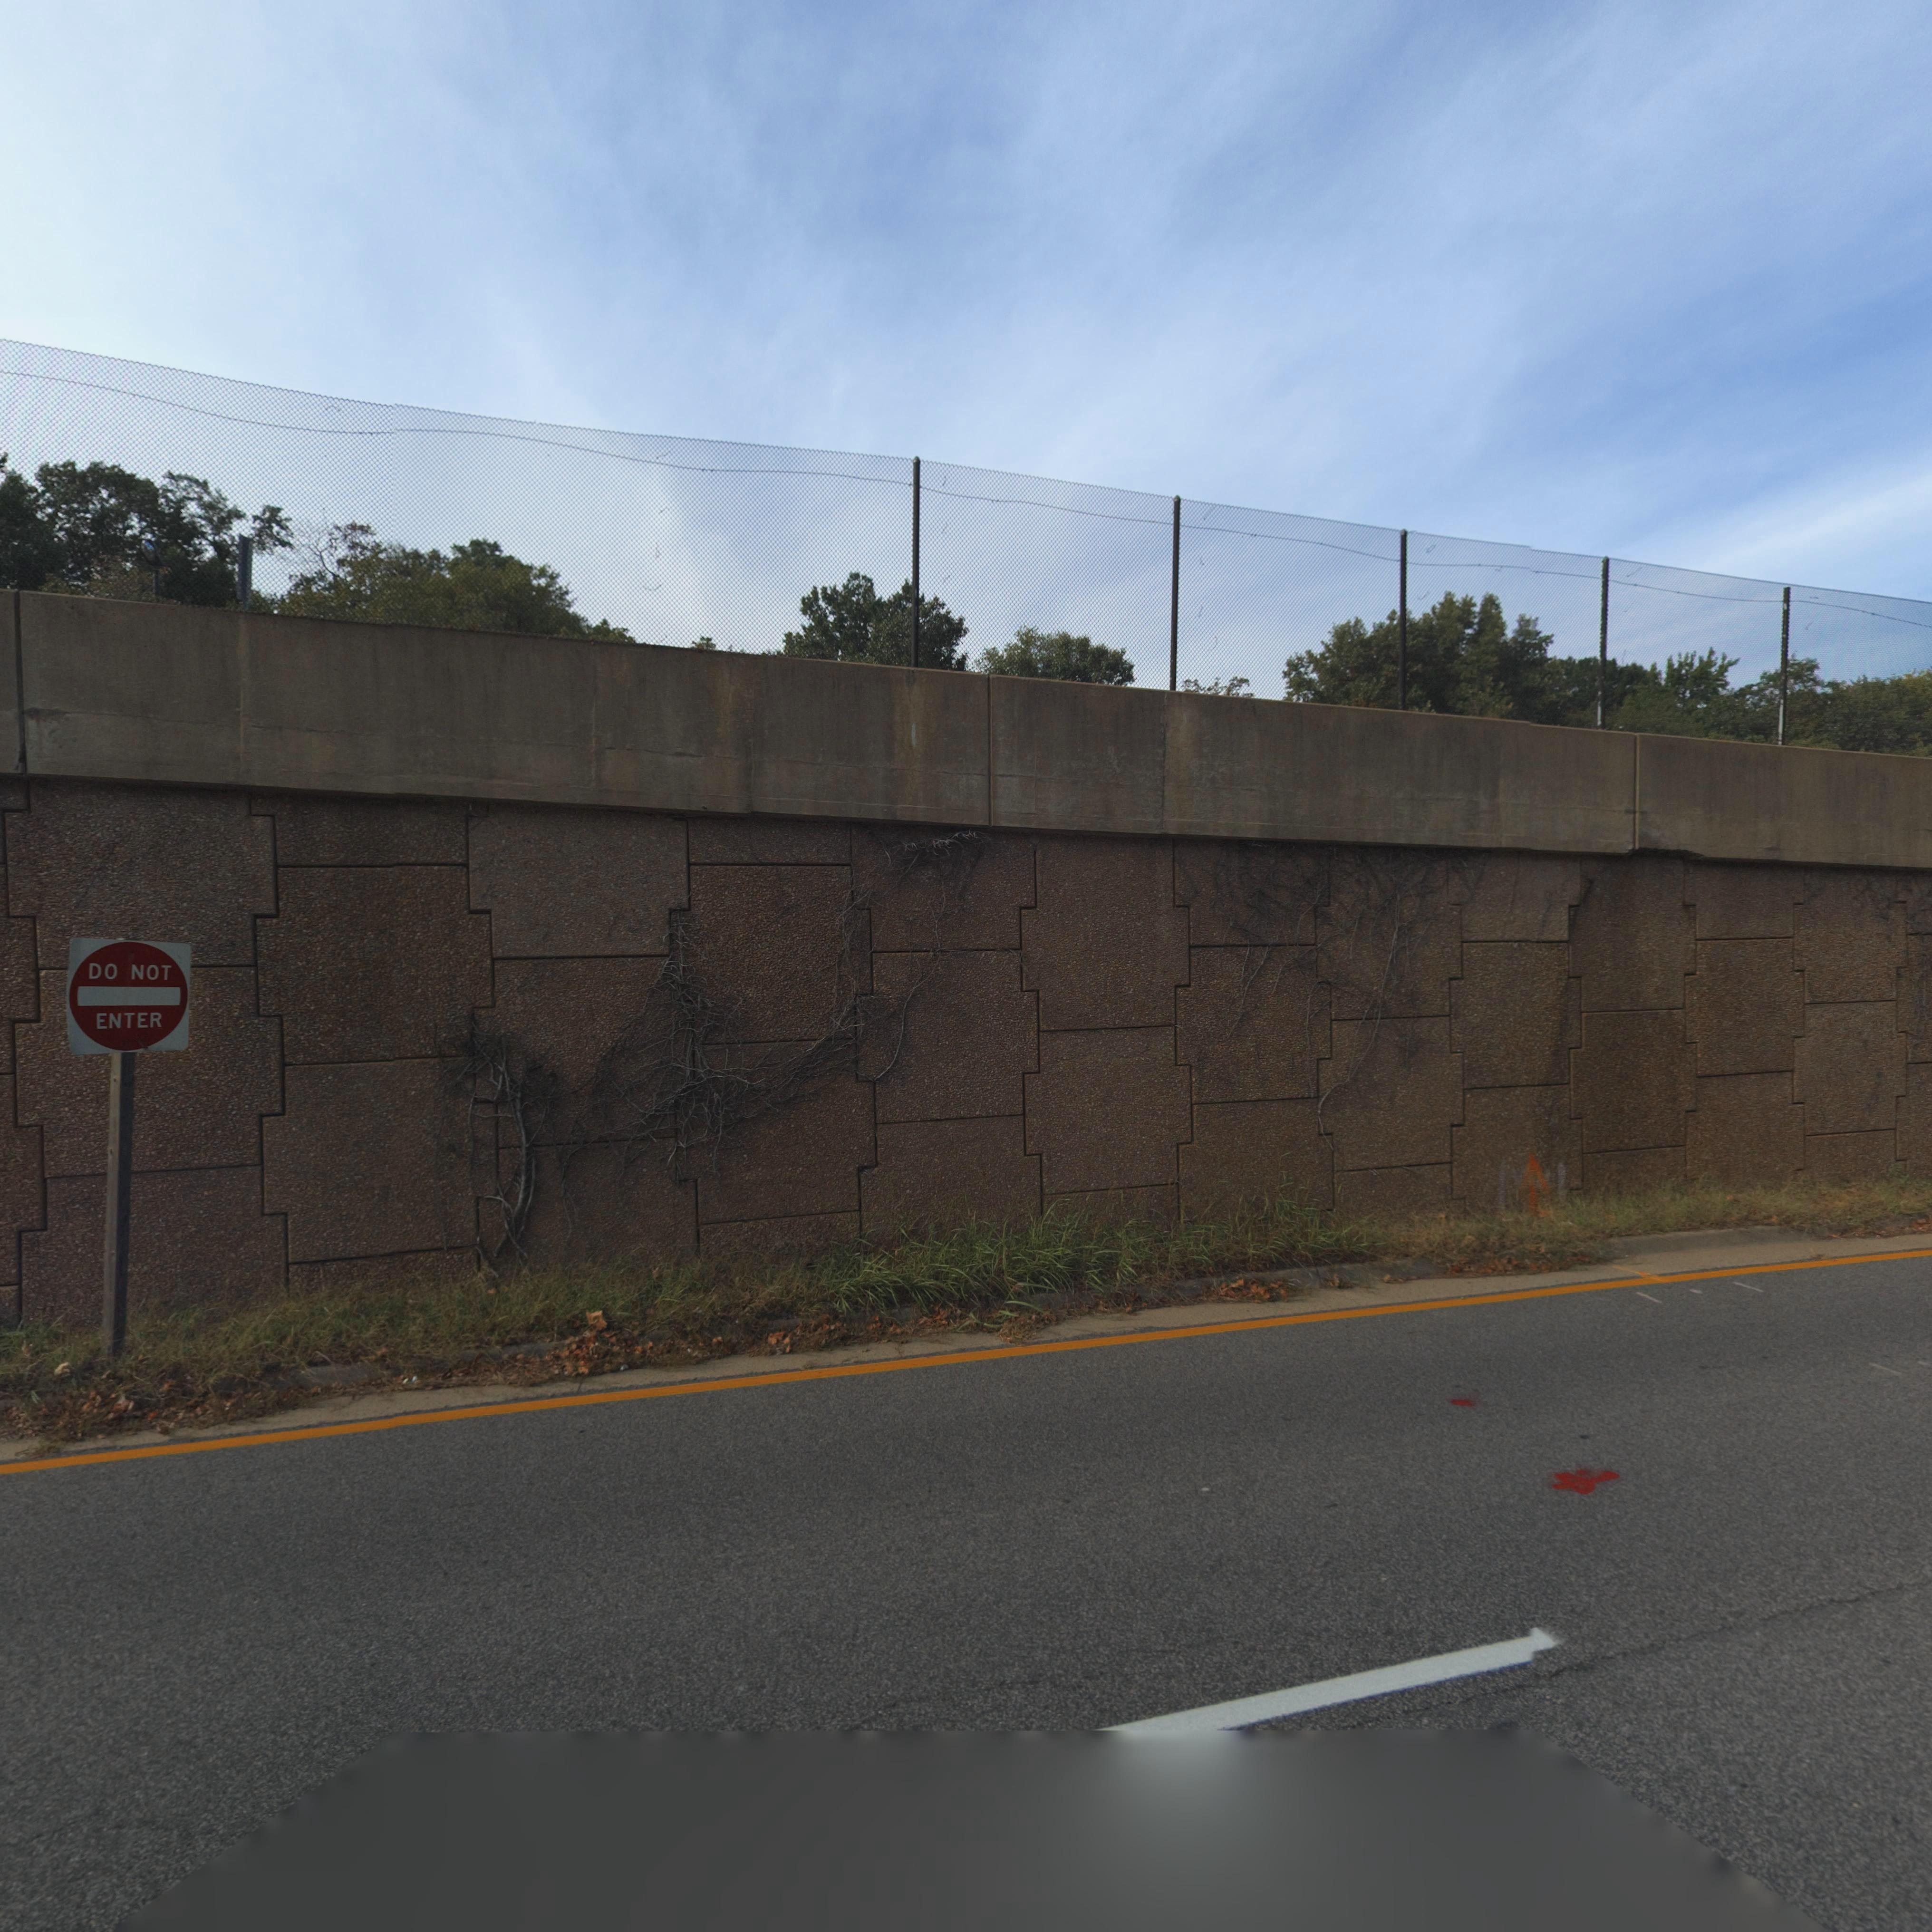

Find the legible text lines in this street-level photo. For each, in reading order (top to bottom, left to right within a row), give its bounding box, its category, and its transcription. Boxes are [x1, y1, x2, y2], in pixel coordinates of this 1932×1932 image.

[86, 959, 175, 985] None: DO NOT
[93, 1010, 165, 1033] None: ENTER